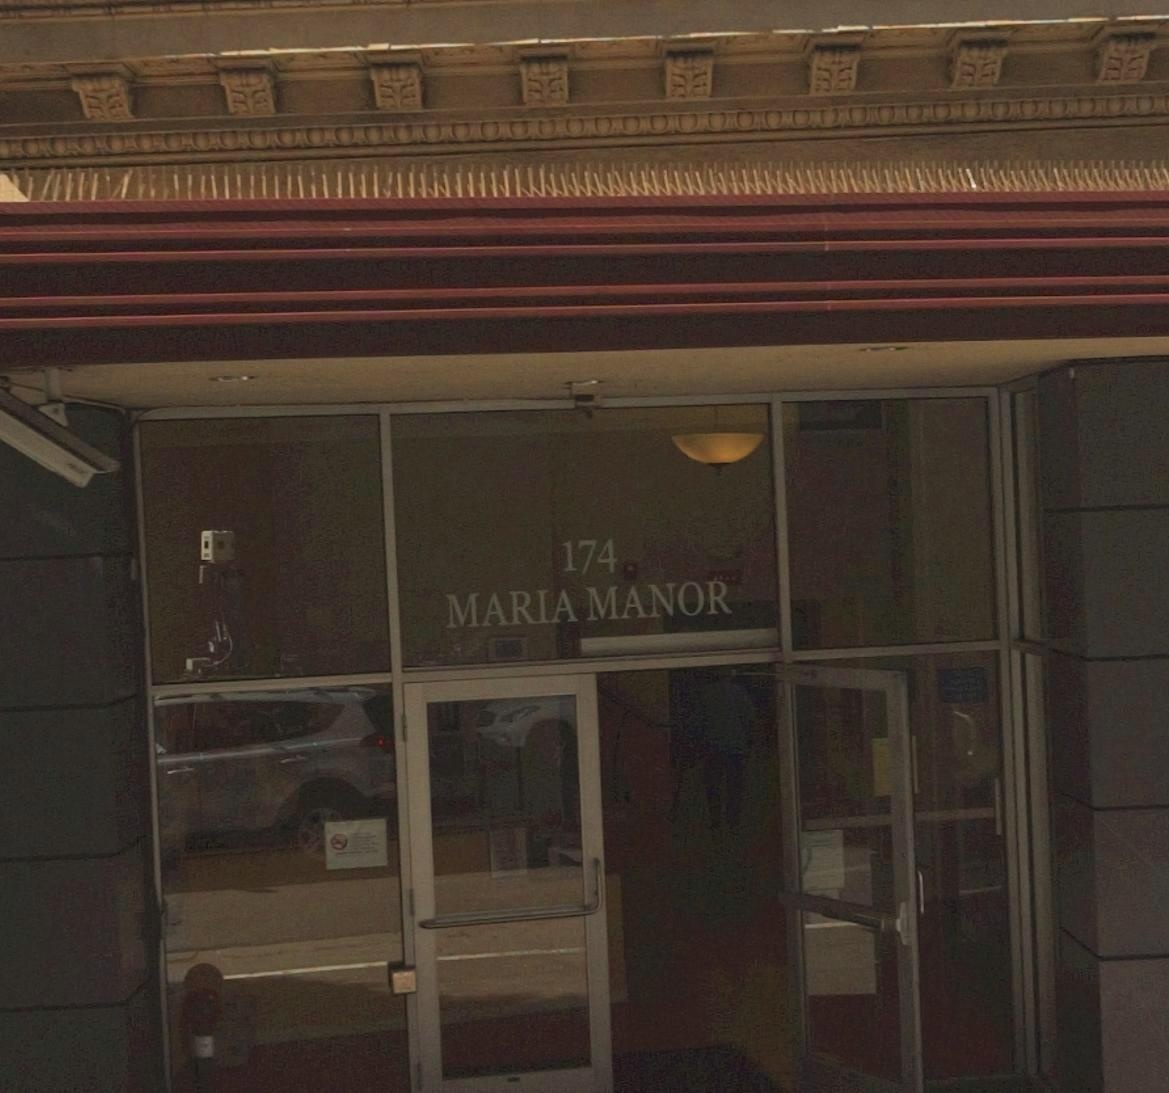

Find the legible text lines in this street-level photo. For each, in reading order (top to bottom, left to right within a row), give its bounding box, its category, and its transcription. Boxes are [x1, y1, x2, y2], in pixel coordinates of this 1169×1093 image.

[561, 536, 619, 573] StreetNumber: 174
[444, 577, 734, 631] None: MARIA MANOR